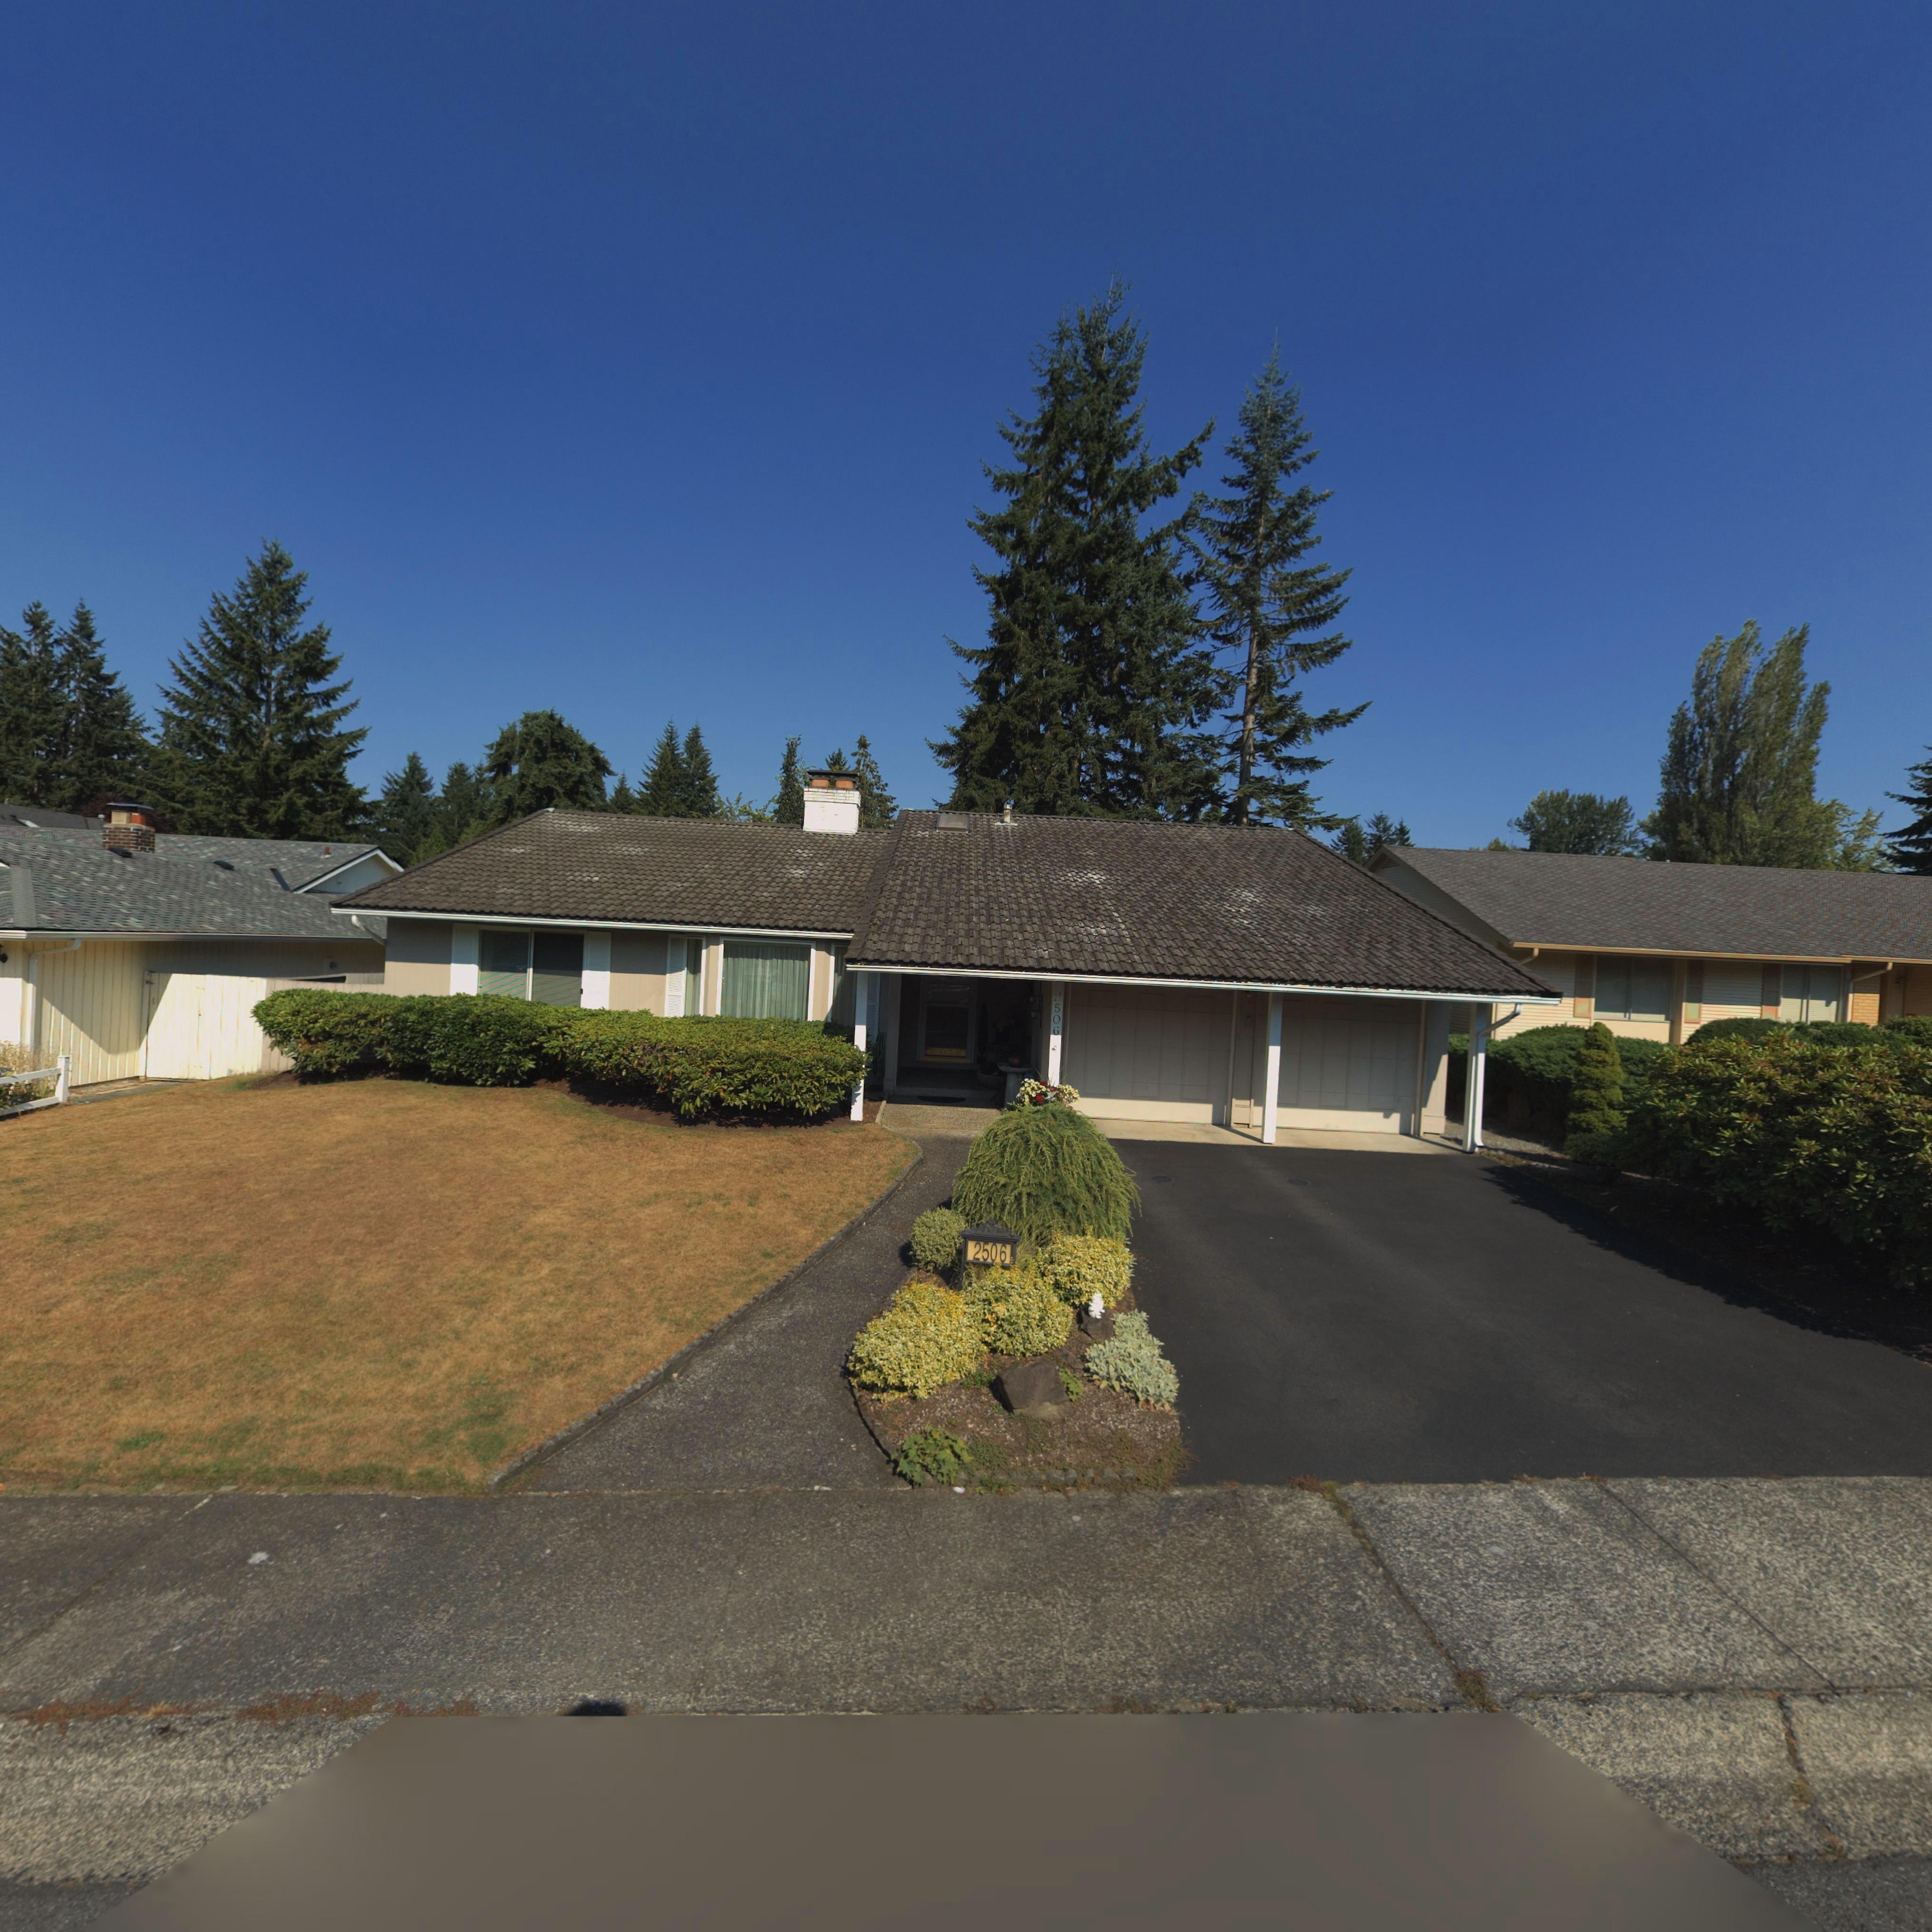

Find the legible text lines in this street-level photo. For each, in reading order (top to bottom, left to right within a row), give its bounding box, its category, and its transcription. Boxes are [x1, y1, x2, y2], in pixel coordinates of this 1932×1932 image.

[1052, 989, 1064, 1039] StreetNumber: 2506
[970, 1241, 1008, 1263] StreetNumber: 2506